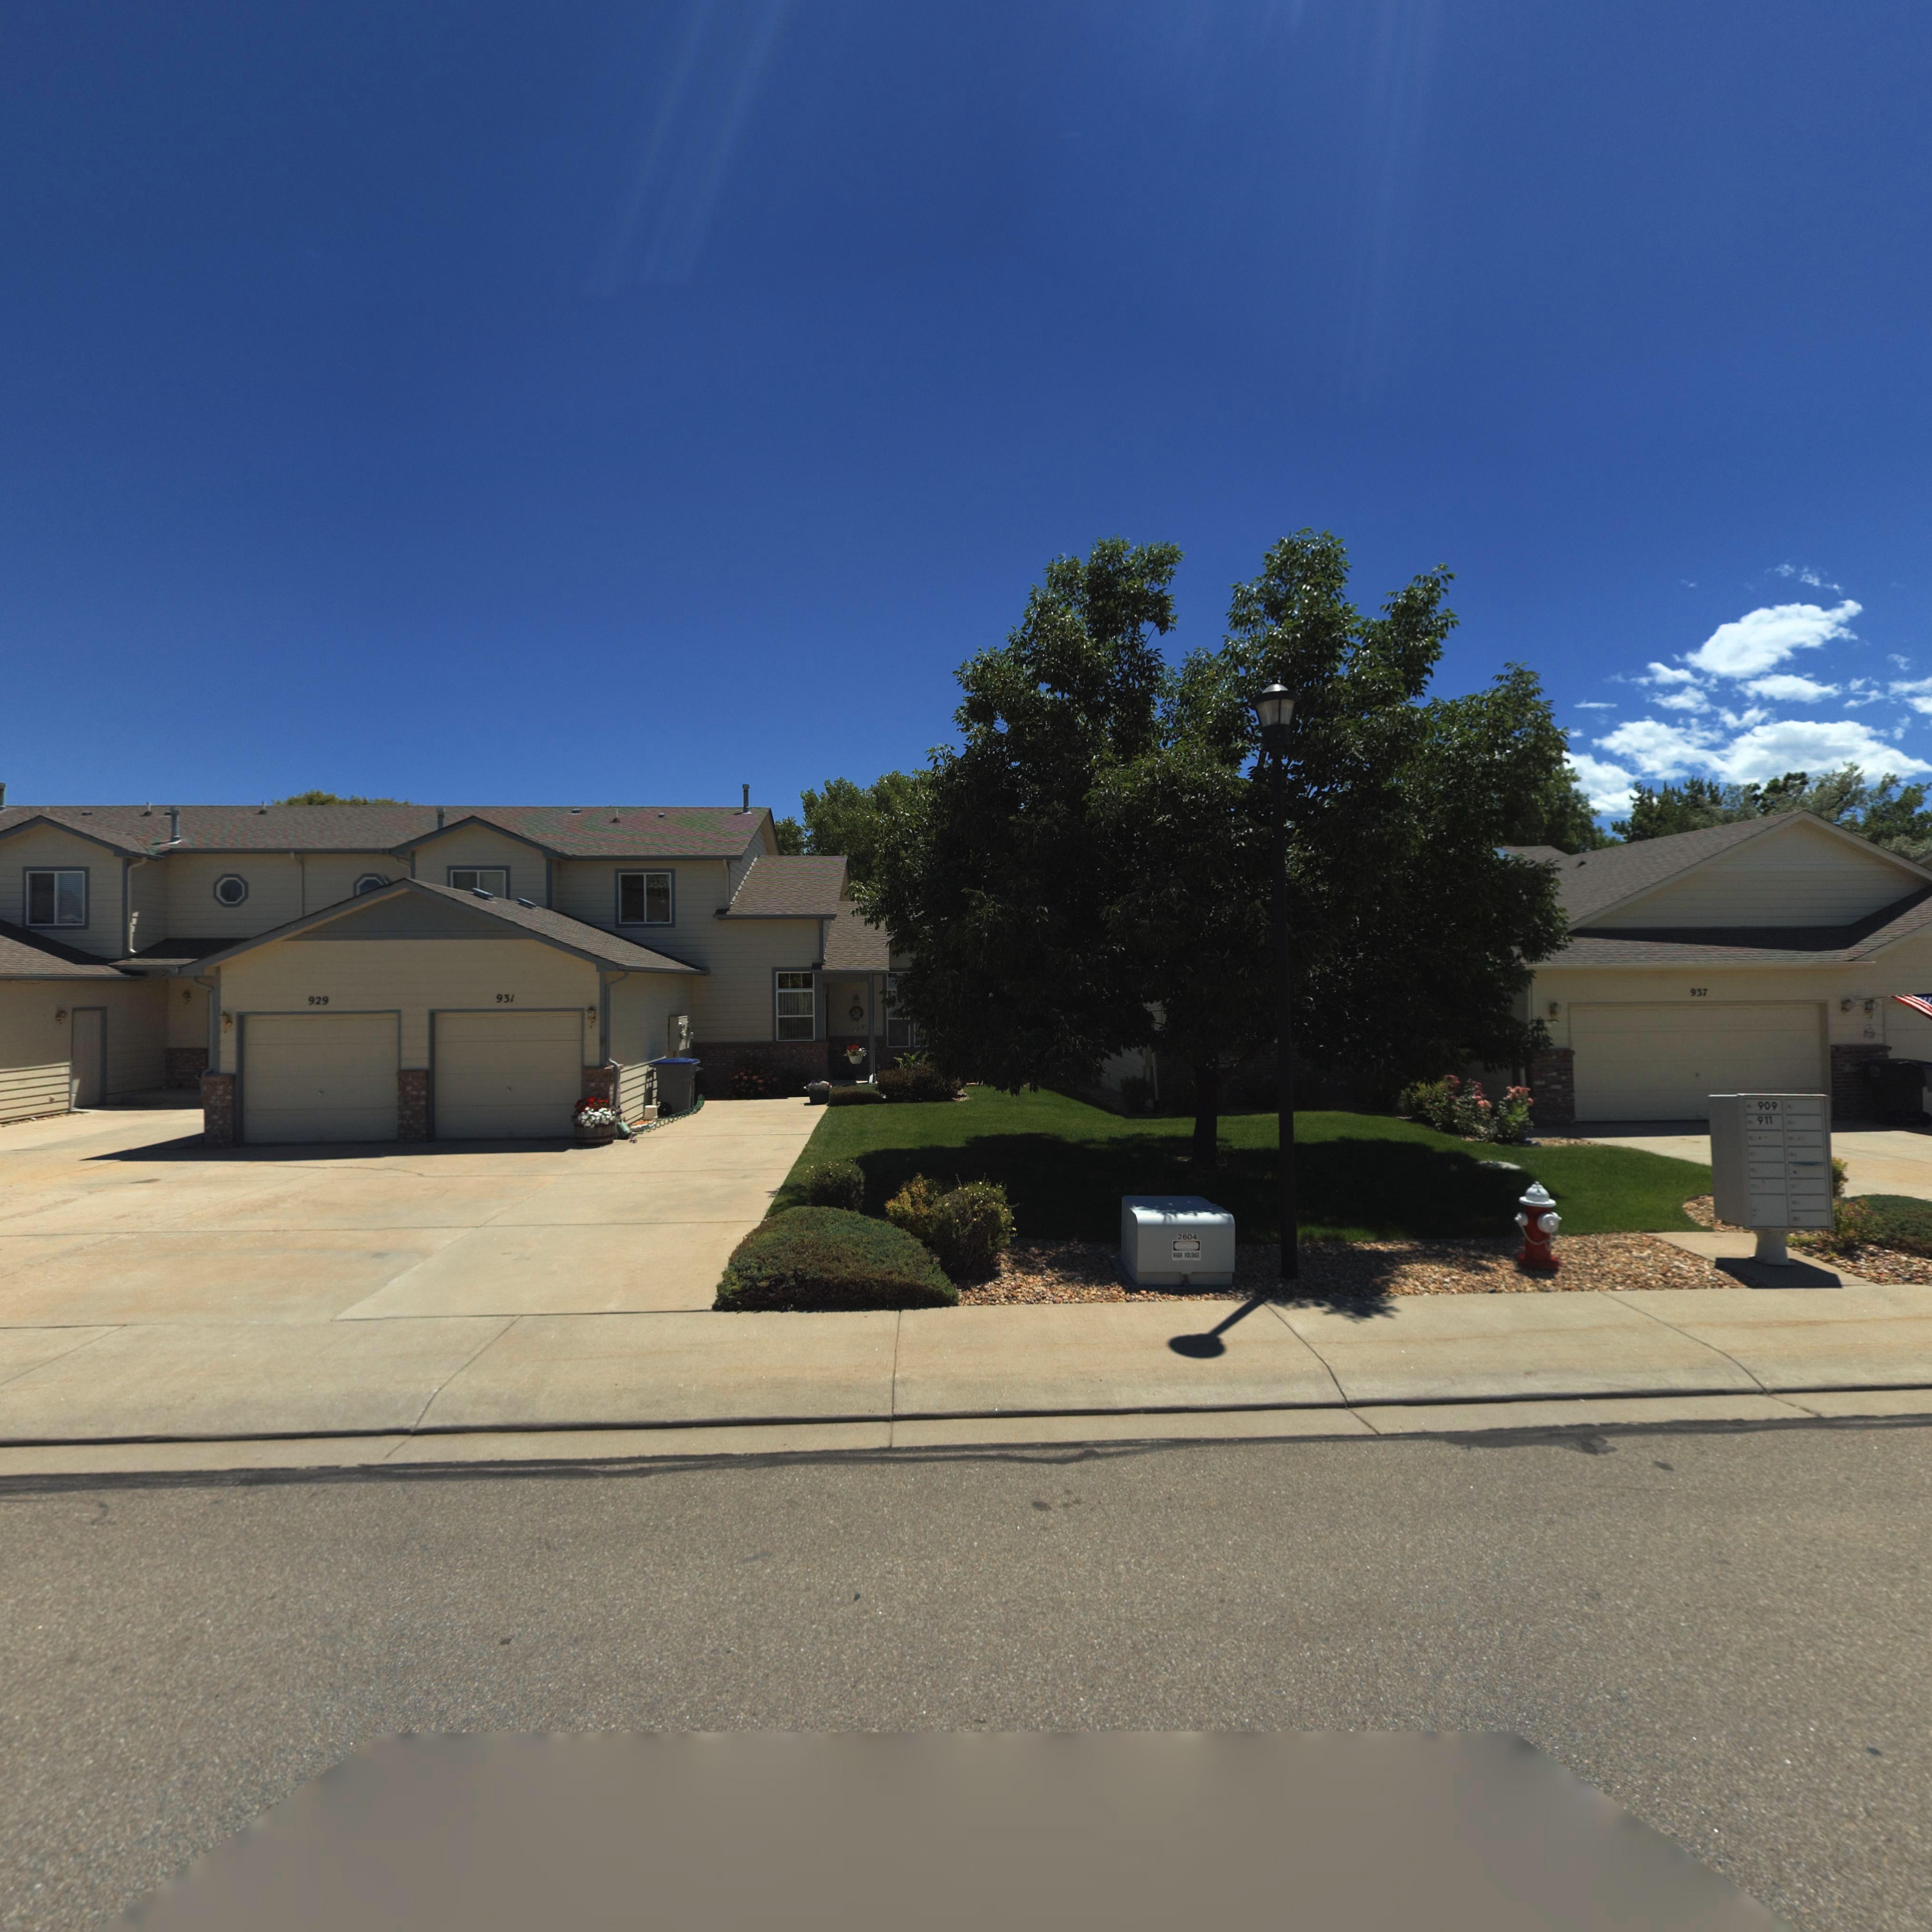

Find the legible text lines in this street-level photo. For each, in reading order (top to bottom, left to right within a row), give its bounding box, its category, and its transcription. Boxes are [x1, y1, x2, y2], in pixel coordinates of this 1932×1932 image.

[1690, 988, 1708, 996] StreetNumber: 937
[308, 995, 329, 1005] StreetNumber: 929
[496, 993, 515, 1003] StreetNumber: 931
[1757, 1101, 1778, 1111] StreetNumber: 909
[1757, 1115, 1773, 1125] StreetNumber: 911